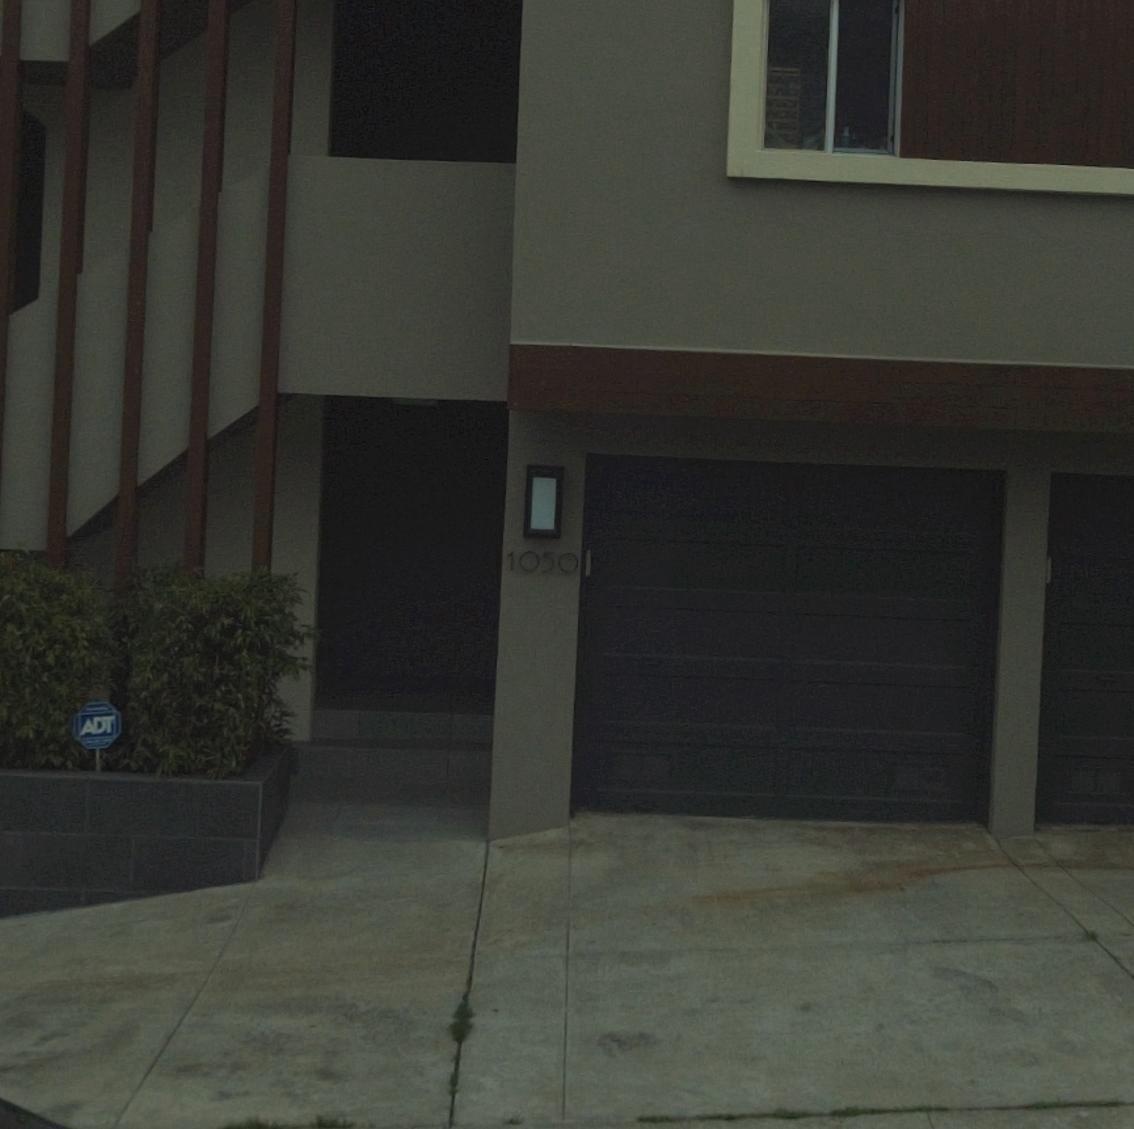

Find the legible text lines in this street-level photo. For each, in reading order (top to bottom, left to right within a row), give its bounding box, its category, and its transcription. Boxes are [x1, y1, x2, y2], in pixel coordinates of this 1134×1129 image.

[505, 549, 580, 575] StreetNumber: 1050
[76, 715, 117, 737] None: ADT